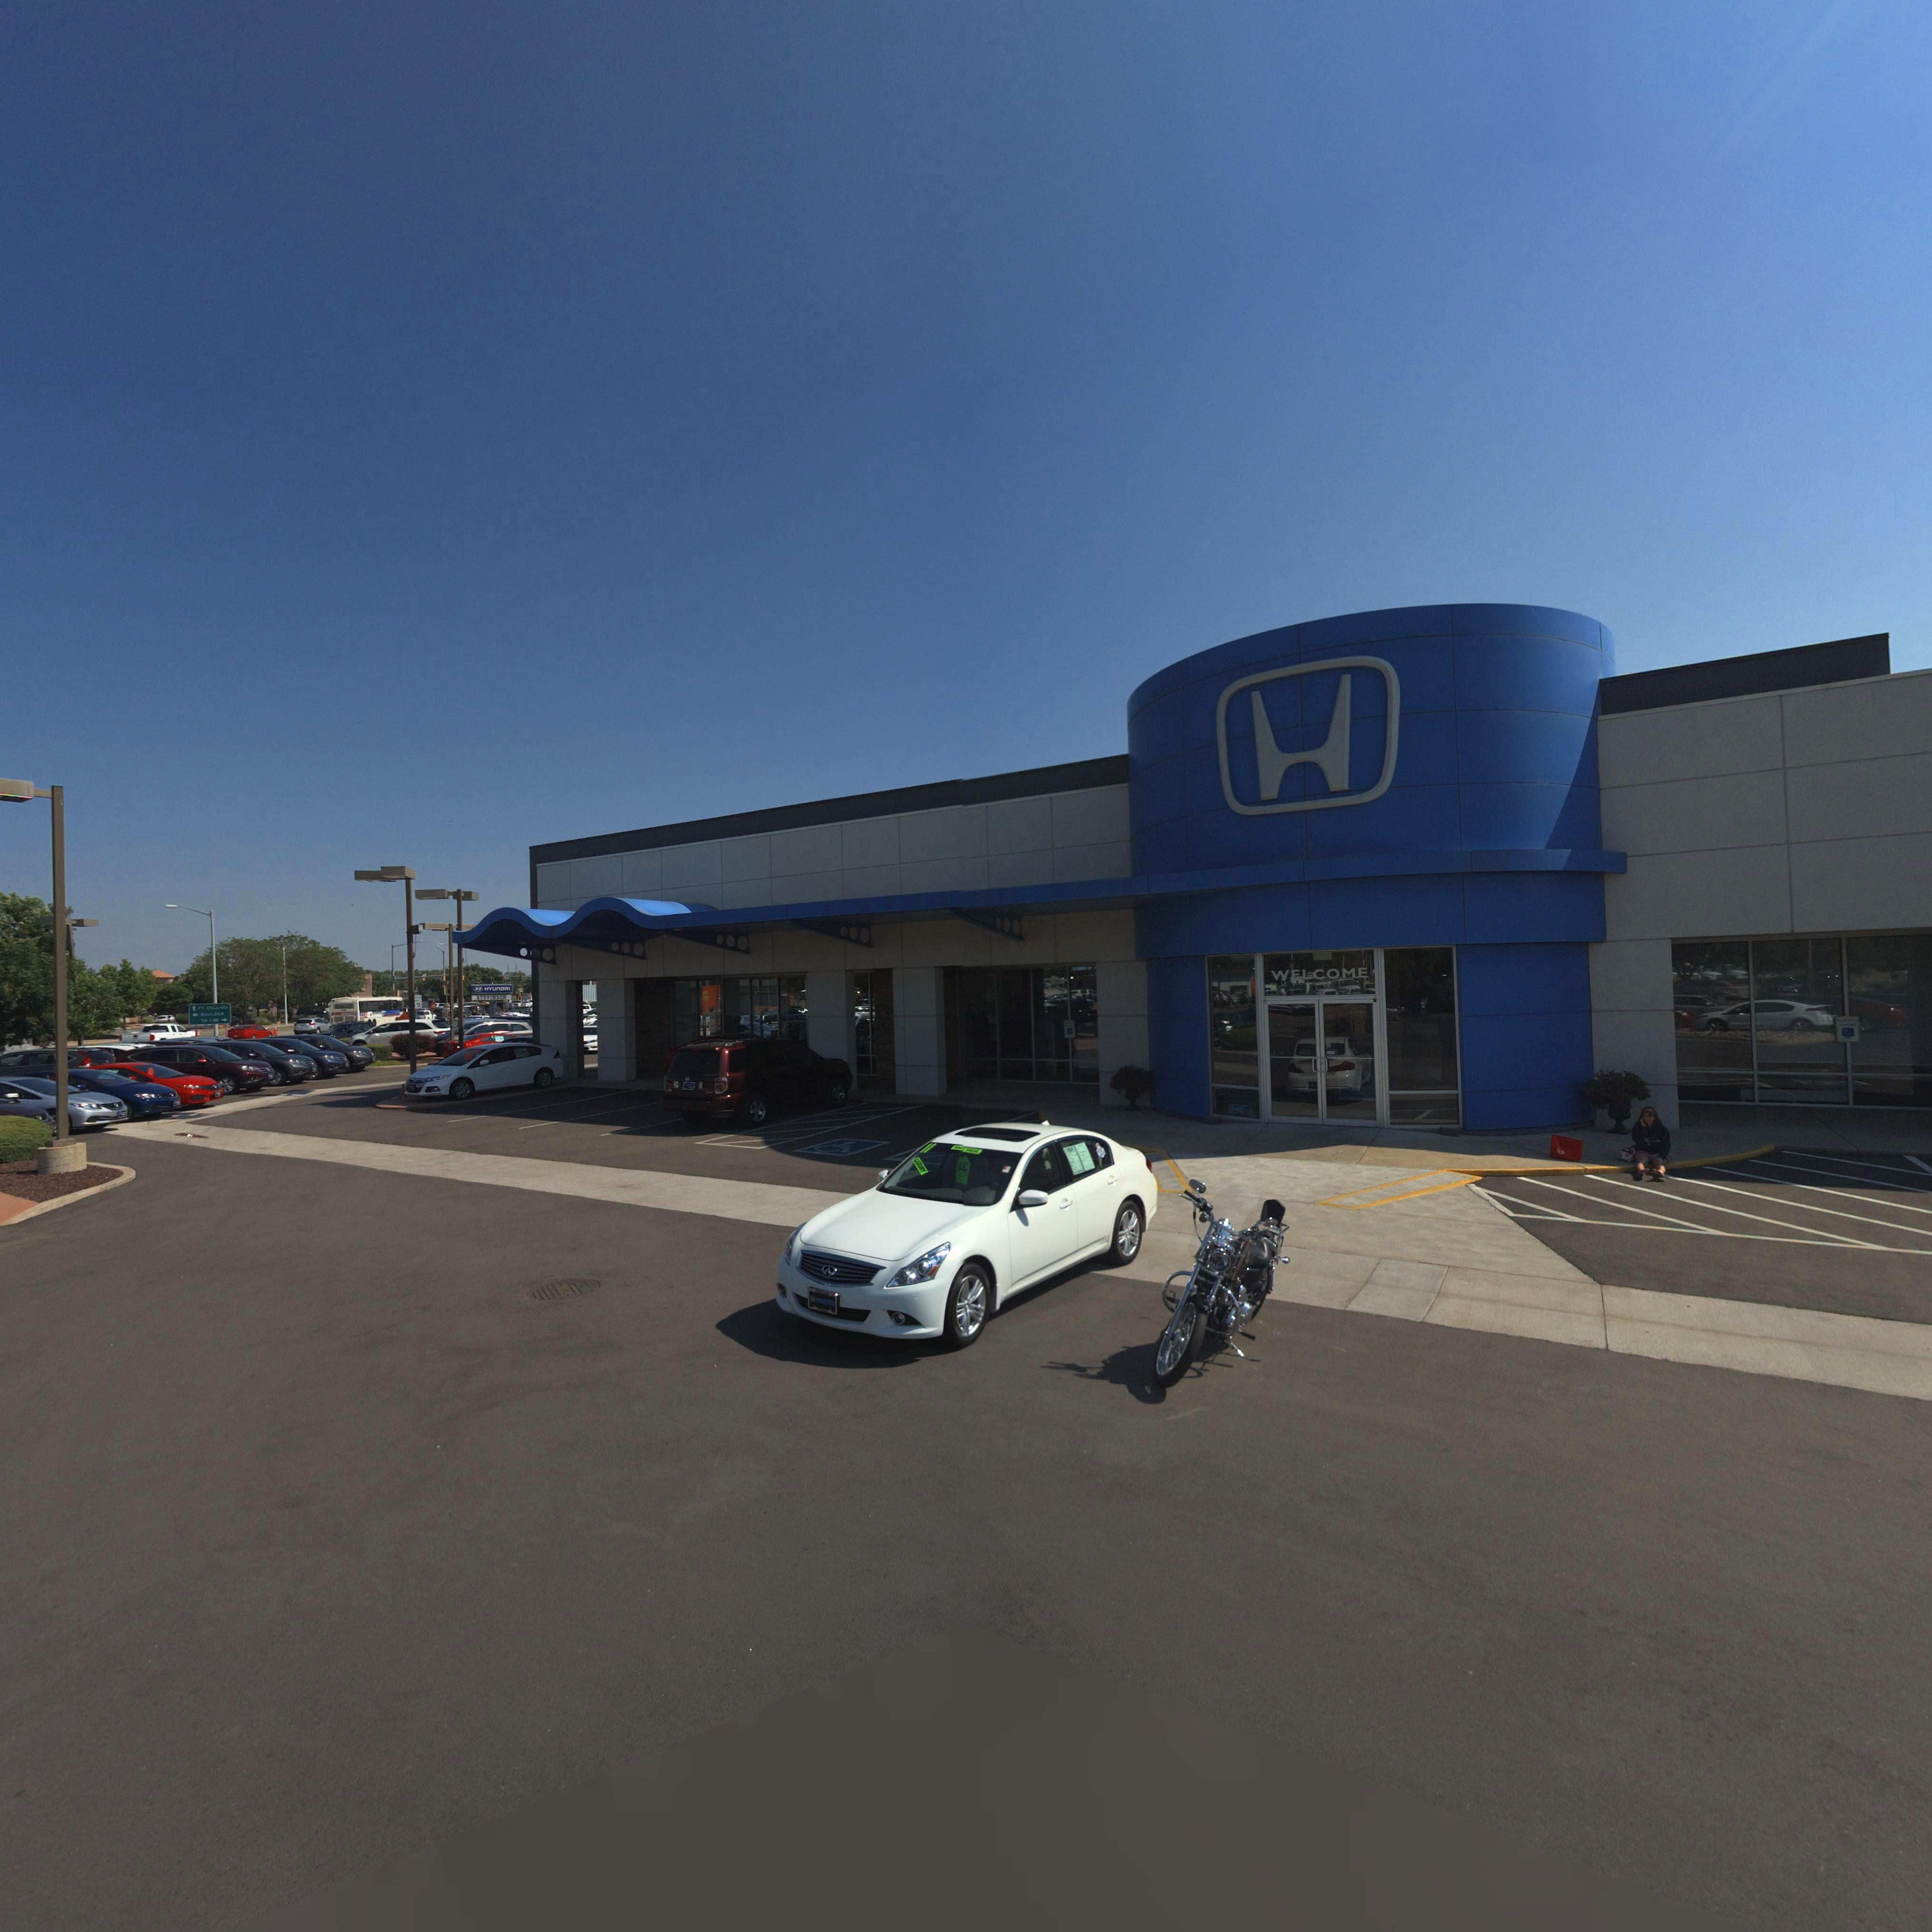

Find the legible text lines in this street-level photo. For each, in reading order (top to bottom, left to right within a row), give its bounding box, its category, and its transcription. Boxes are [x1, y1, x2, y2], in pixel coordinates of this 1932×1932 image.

[483, 986, 510, 991] BusinessName: HYUNDAI
[476, 995, 506, 1000] BusinessName: STEVINSON